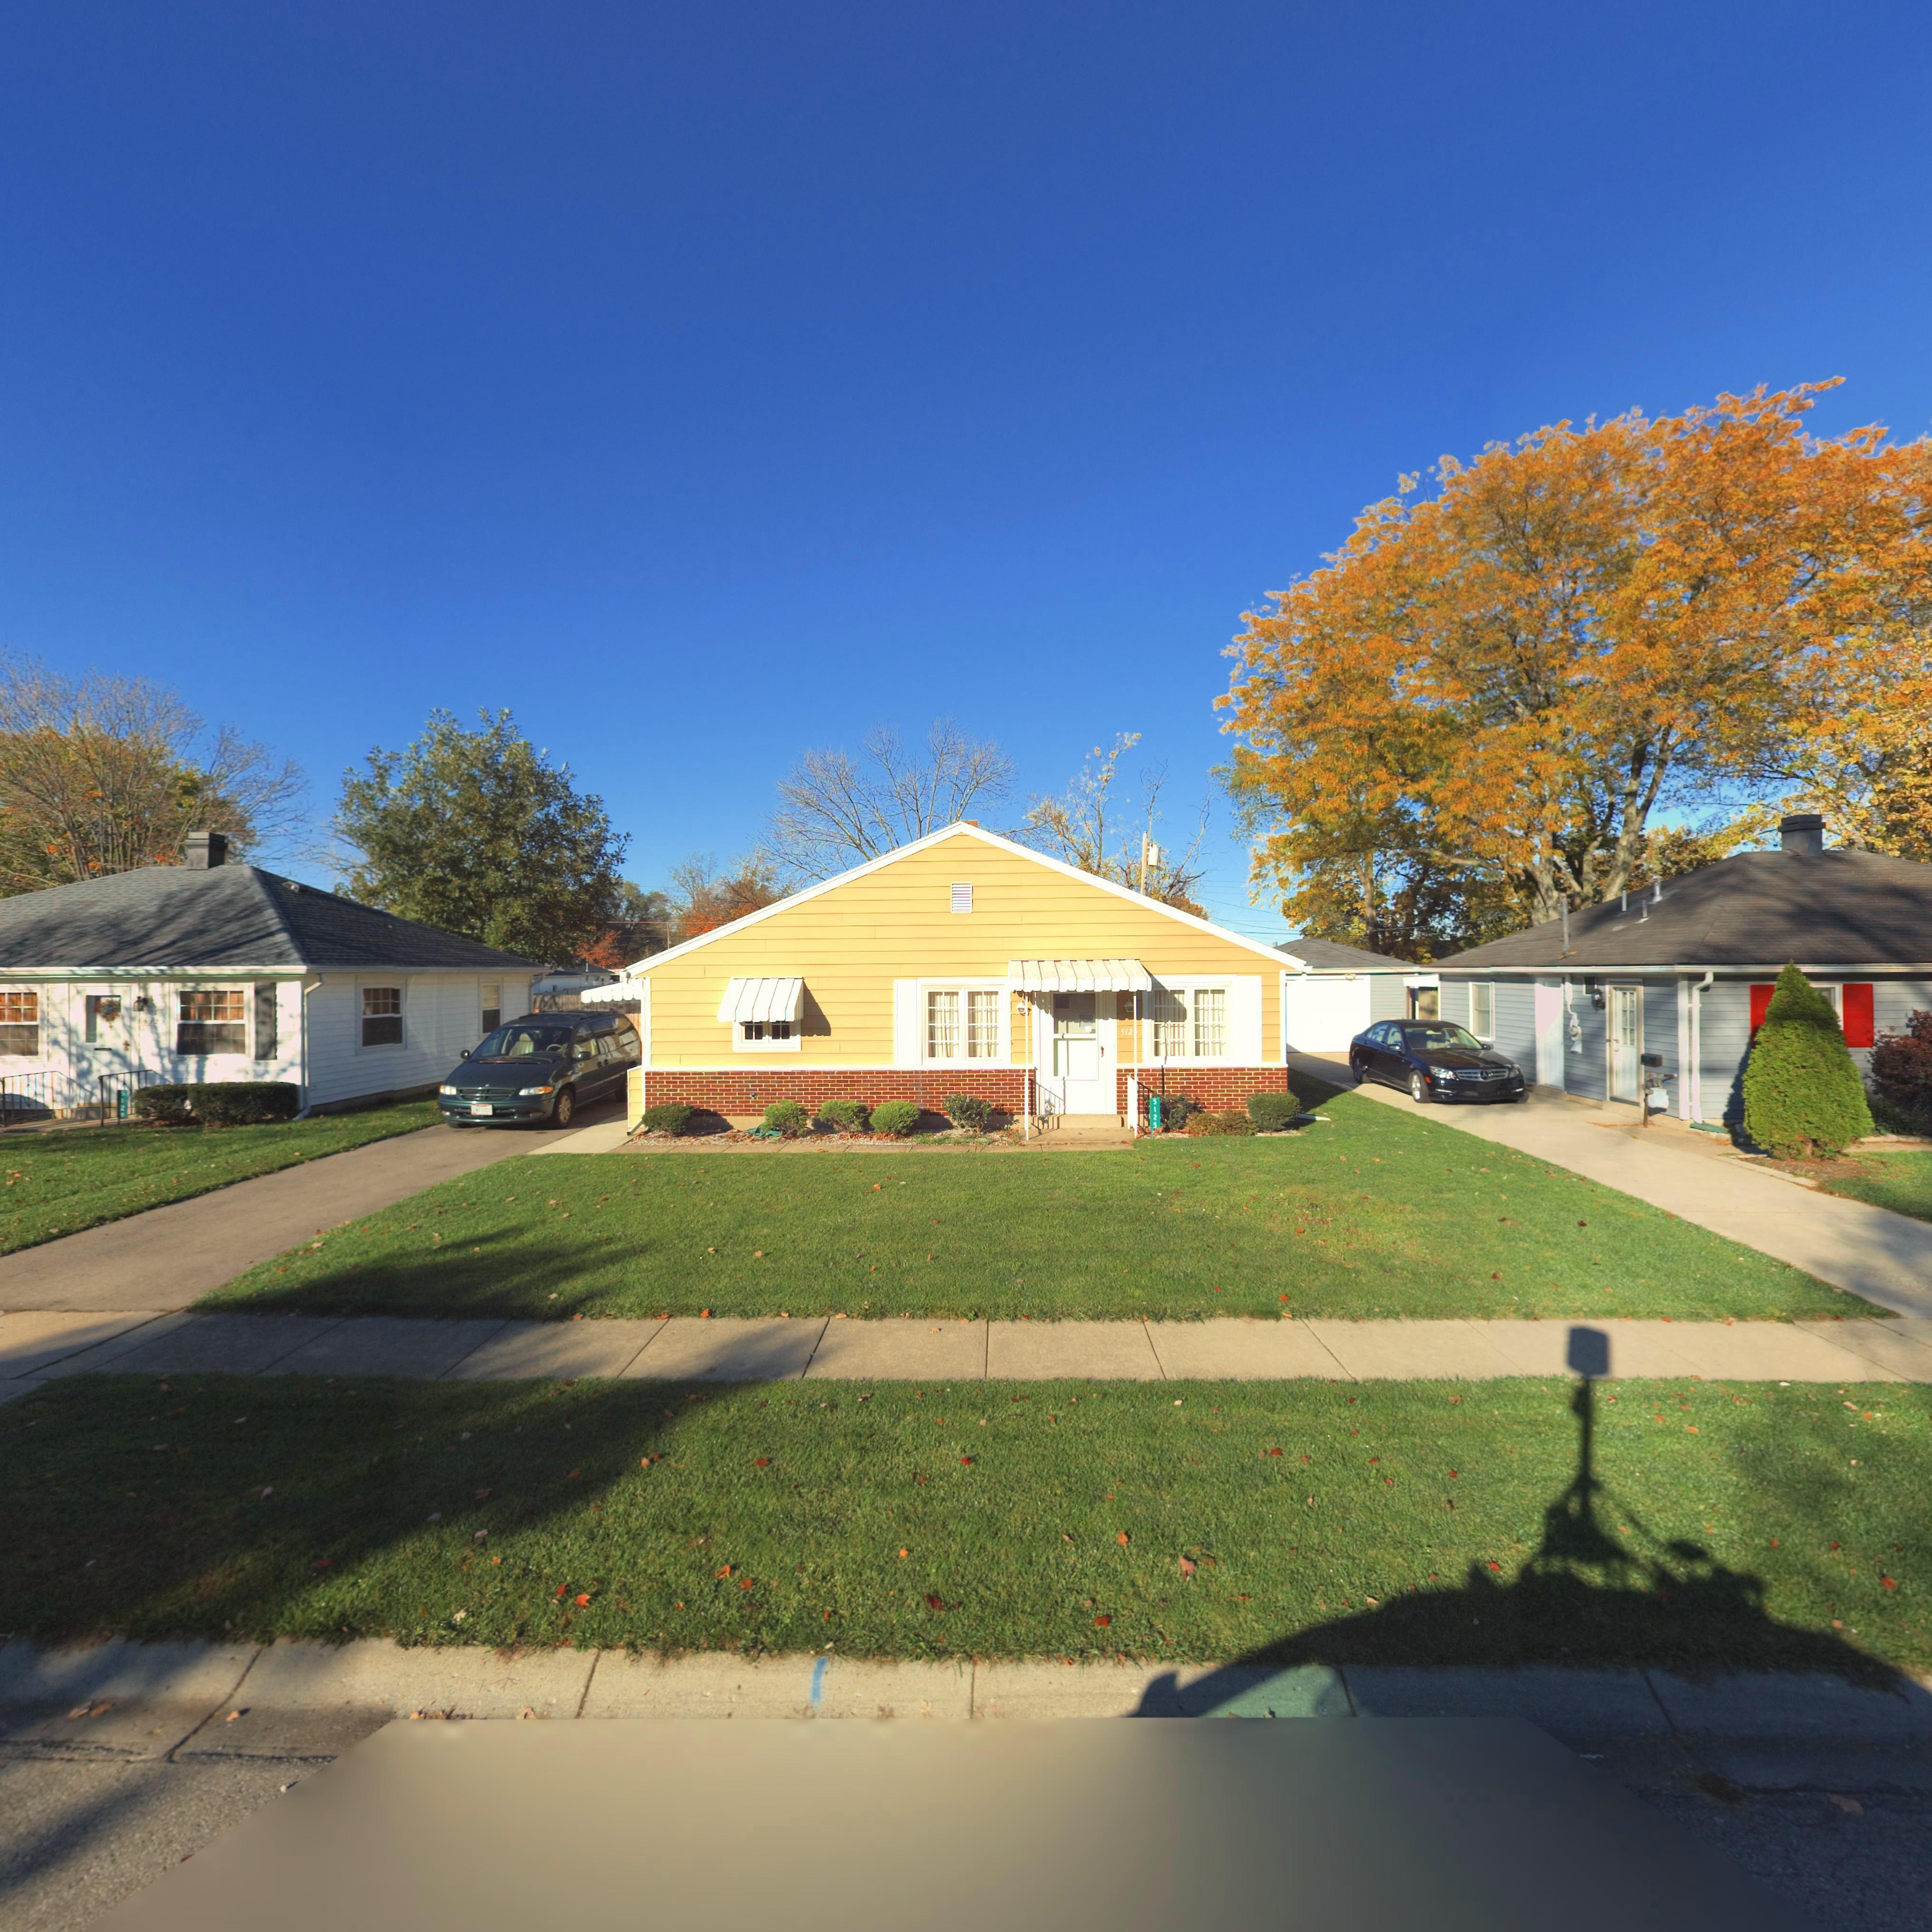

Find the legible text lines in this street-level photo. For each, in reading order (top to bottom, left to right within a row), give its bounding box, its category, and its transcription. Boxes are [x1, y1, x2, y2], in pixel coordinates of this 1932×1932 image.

[1120, 1027, 1138, 1036] StreetNumber: 512*
[119, 1090, 126, 1118] StreetNumber: 5129
[1152, 1098, 1158, 1128] StreetNumber: 5125